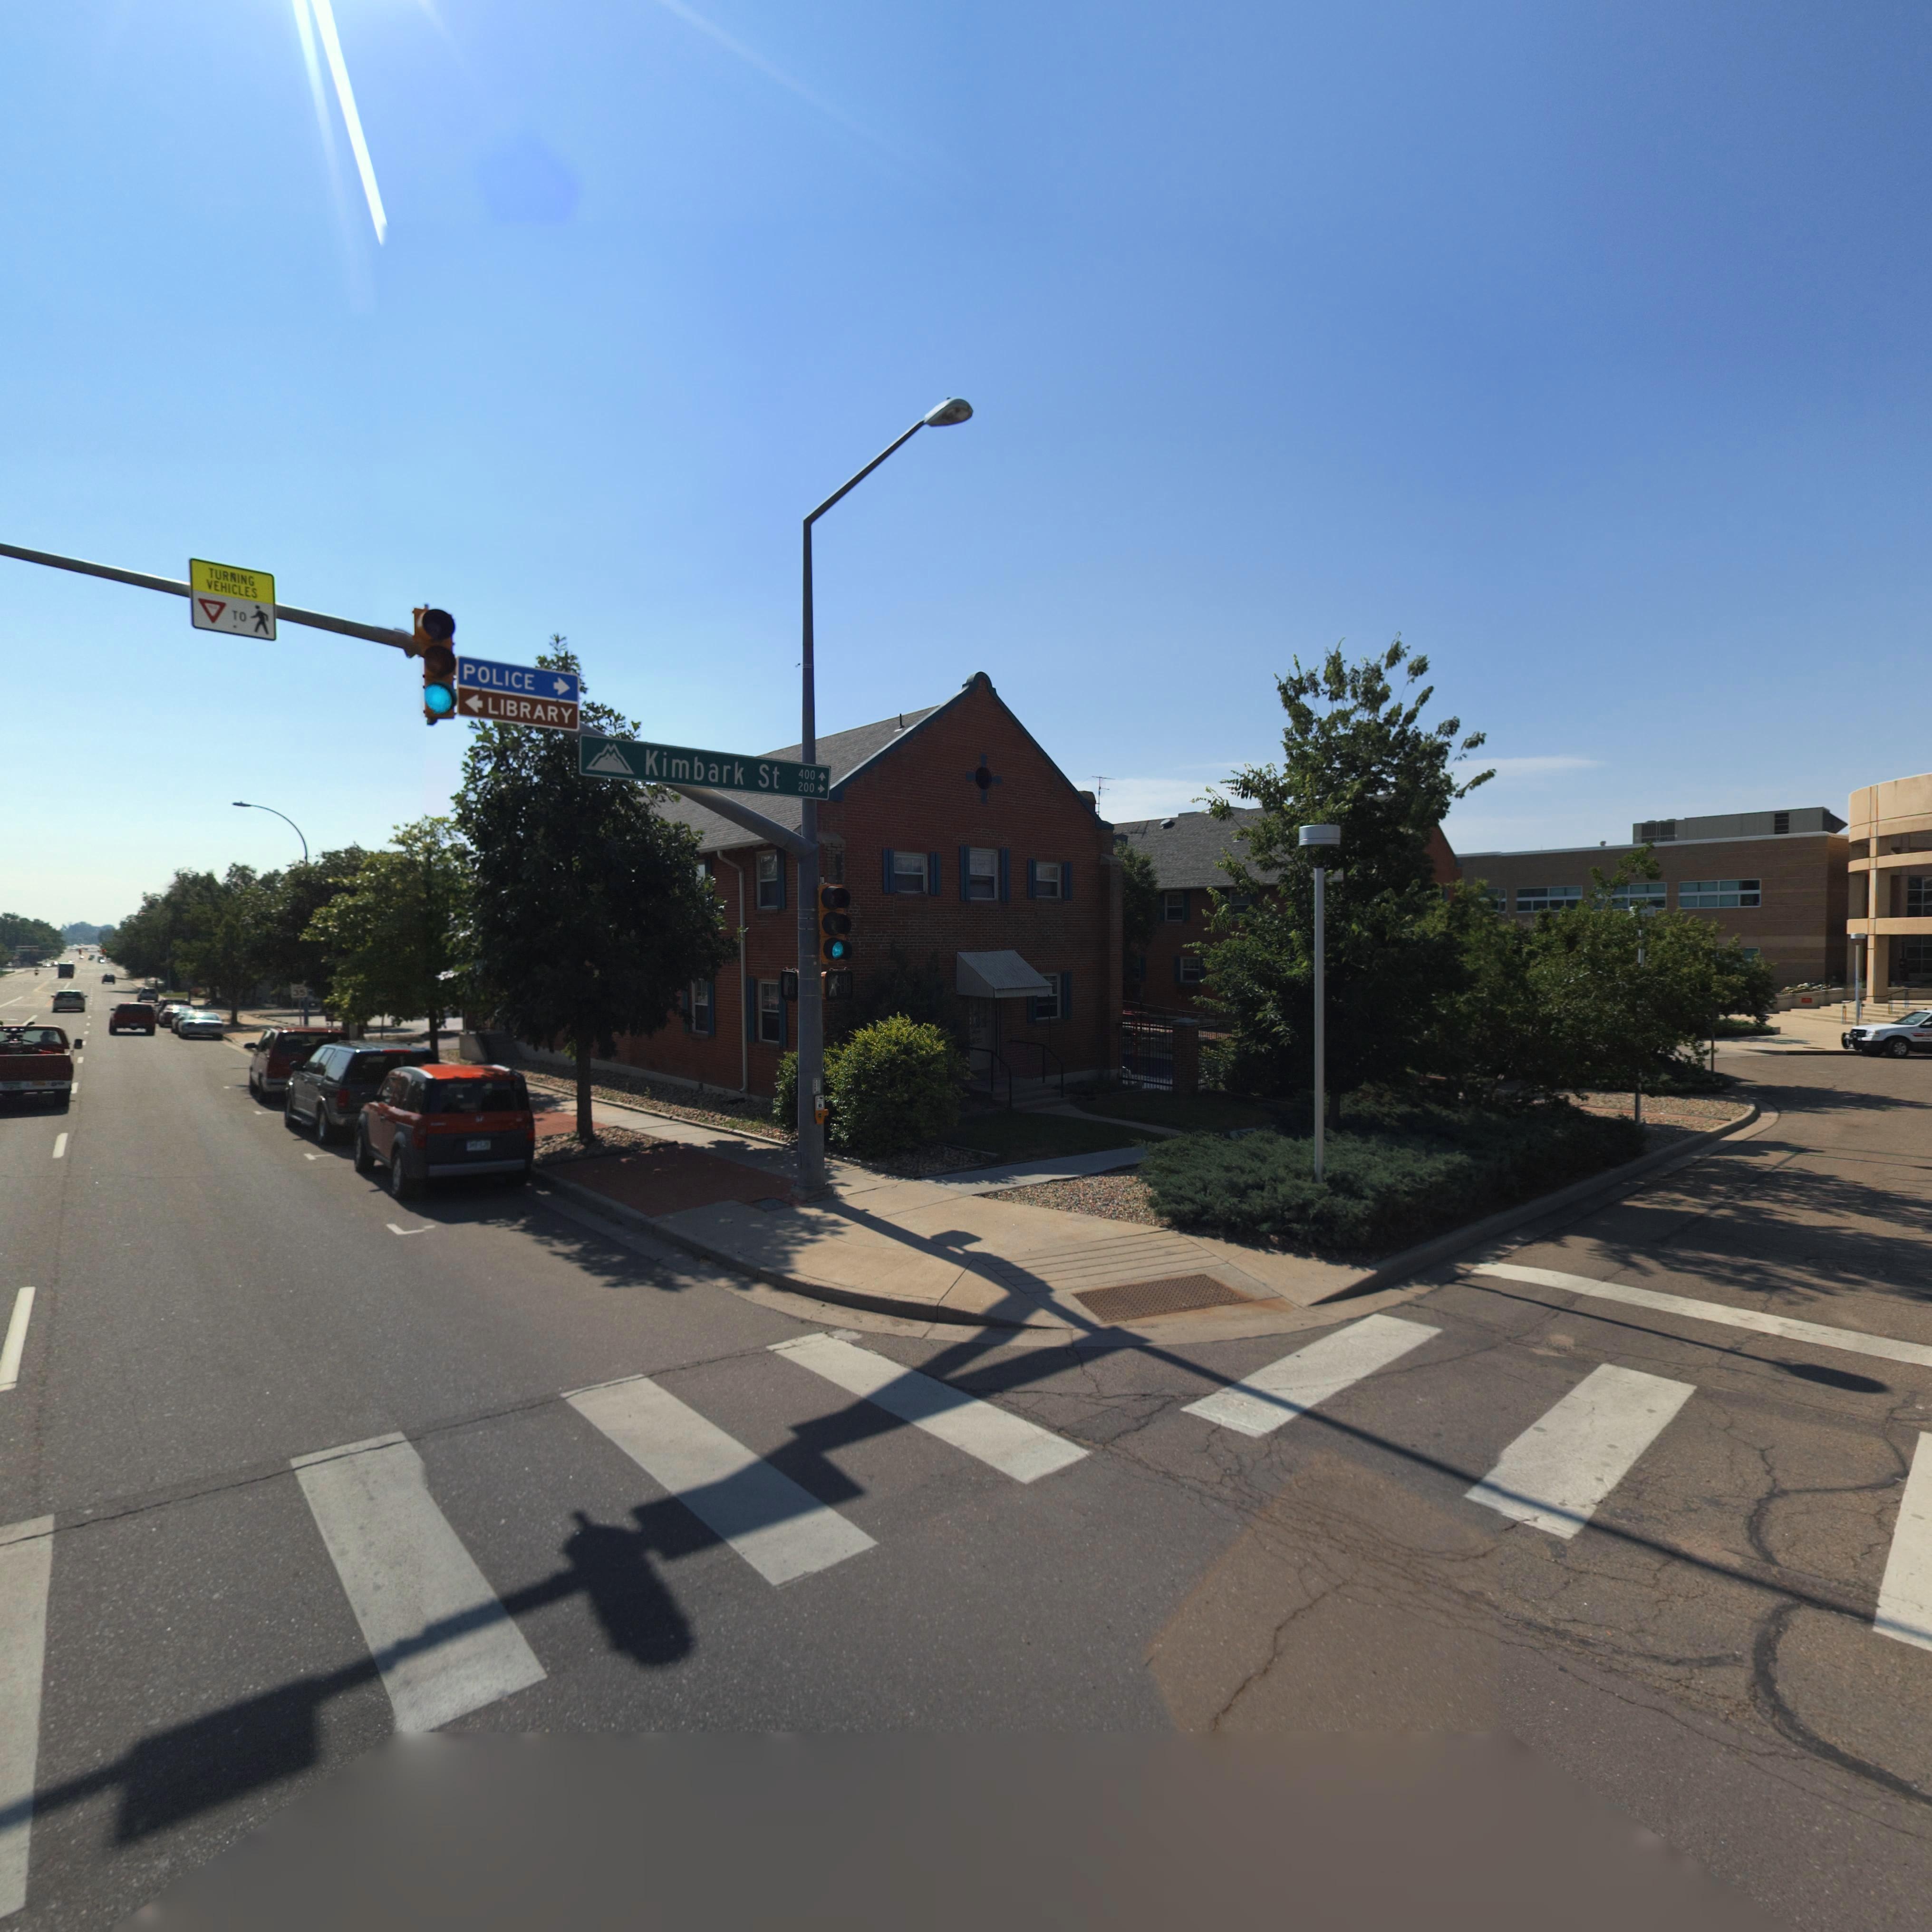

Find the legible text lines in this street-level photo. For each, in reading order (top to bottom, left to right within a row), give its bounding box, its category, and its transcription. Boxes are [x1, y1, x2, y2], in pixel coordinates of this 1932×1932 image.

[645, 749, 779, 790] StreetName: Kimbark St
[798, 768, 815, 780] StreetNumberRange: 400
[798, 781, 825, 793] StreetNumberRange: 200 ->